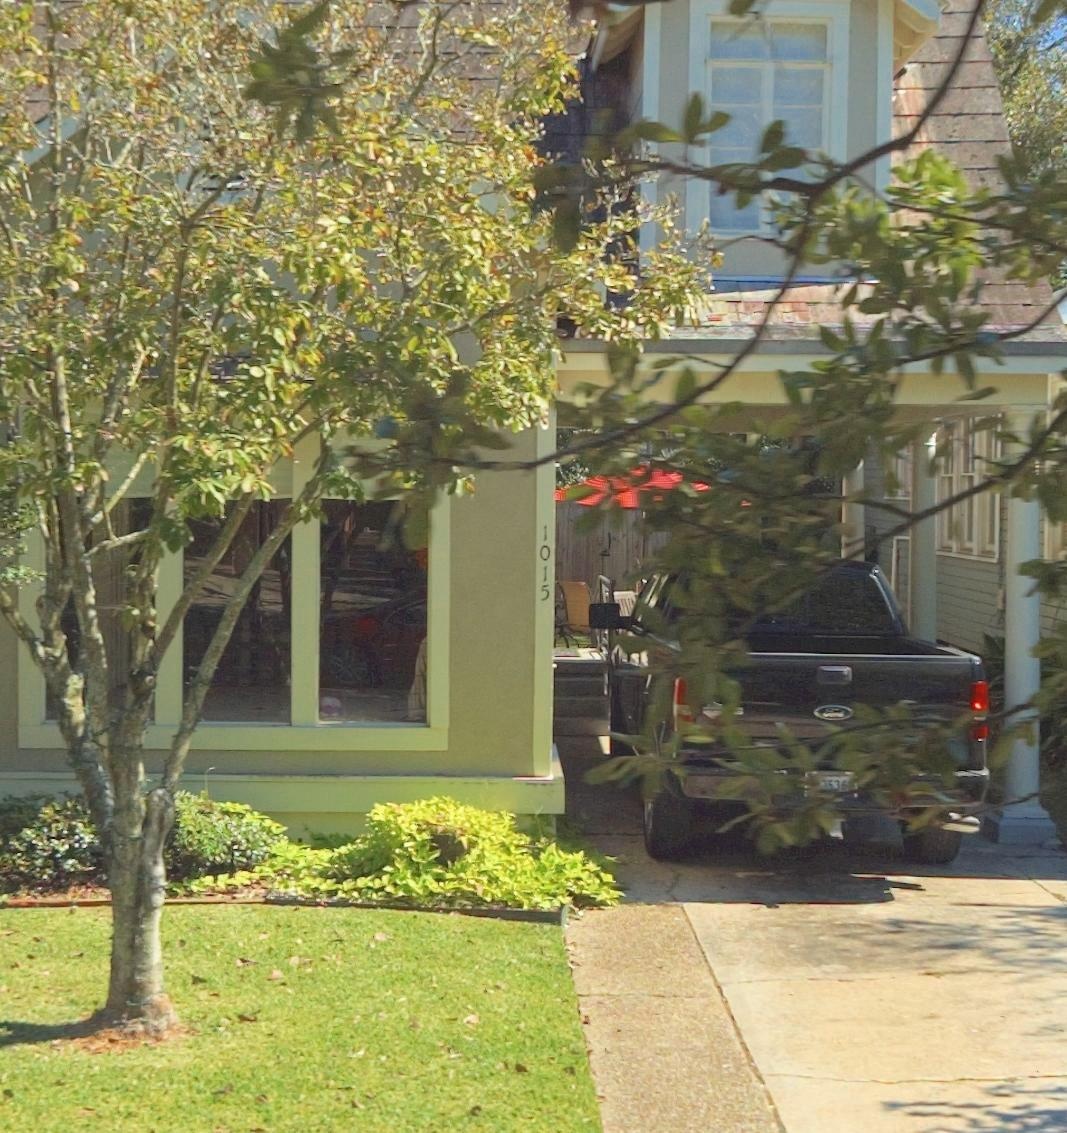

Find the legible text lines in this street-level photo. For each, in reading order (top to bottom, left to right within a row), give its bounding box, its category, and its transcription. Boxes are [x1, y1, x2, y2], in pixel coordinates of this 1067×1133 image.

[537, 522, 553, 604] StreetNumber: 1015
[832, 778, 849, 792] None: 36